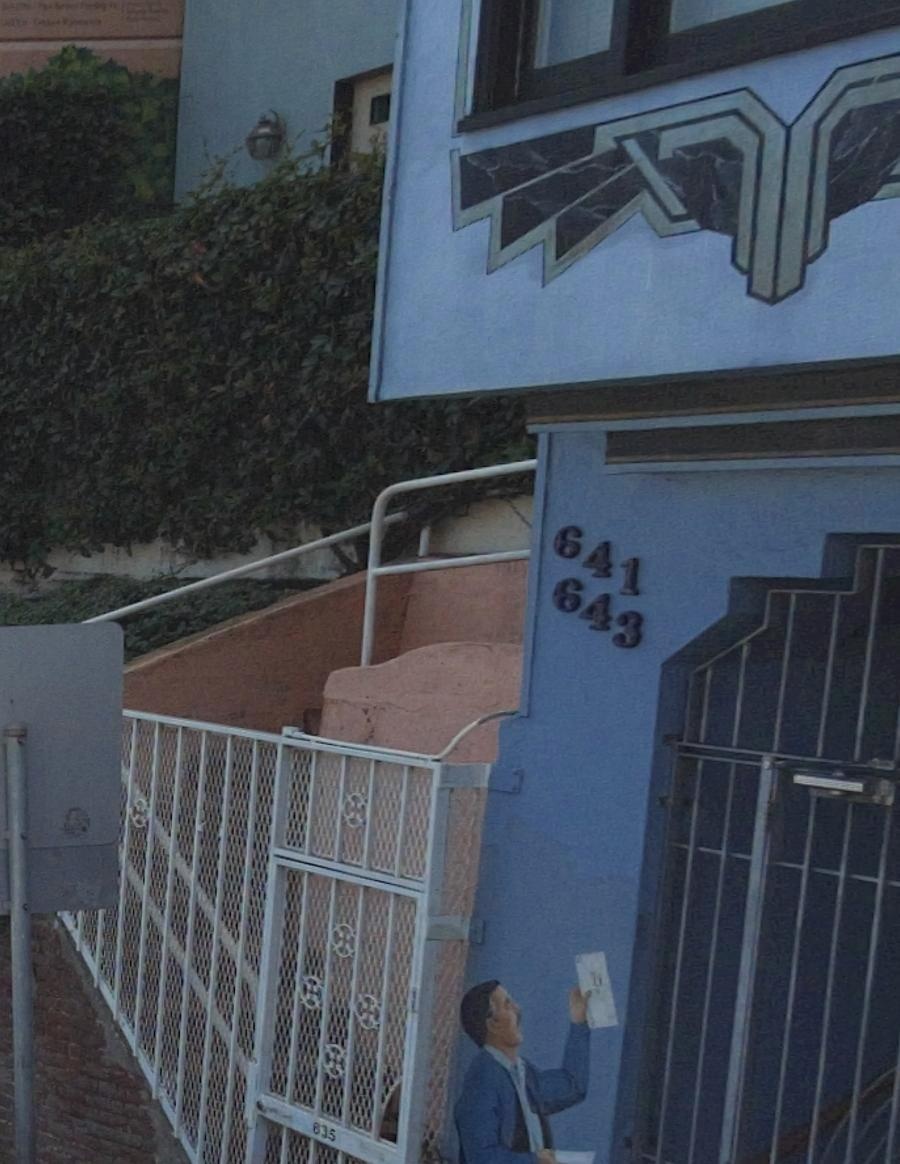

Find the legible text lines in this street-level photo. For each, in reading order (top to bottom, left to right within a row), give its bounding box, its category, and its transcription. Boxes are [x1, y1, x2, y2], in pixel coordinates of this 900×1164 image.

[552, 521, 642, 597] StreetNumber: 641
[552, 576, 644, 653] StreetNumber: 643